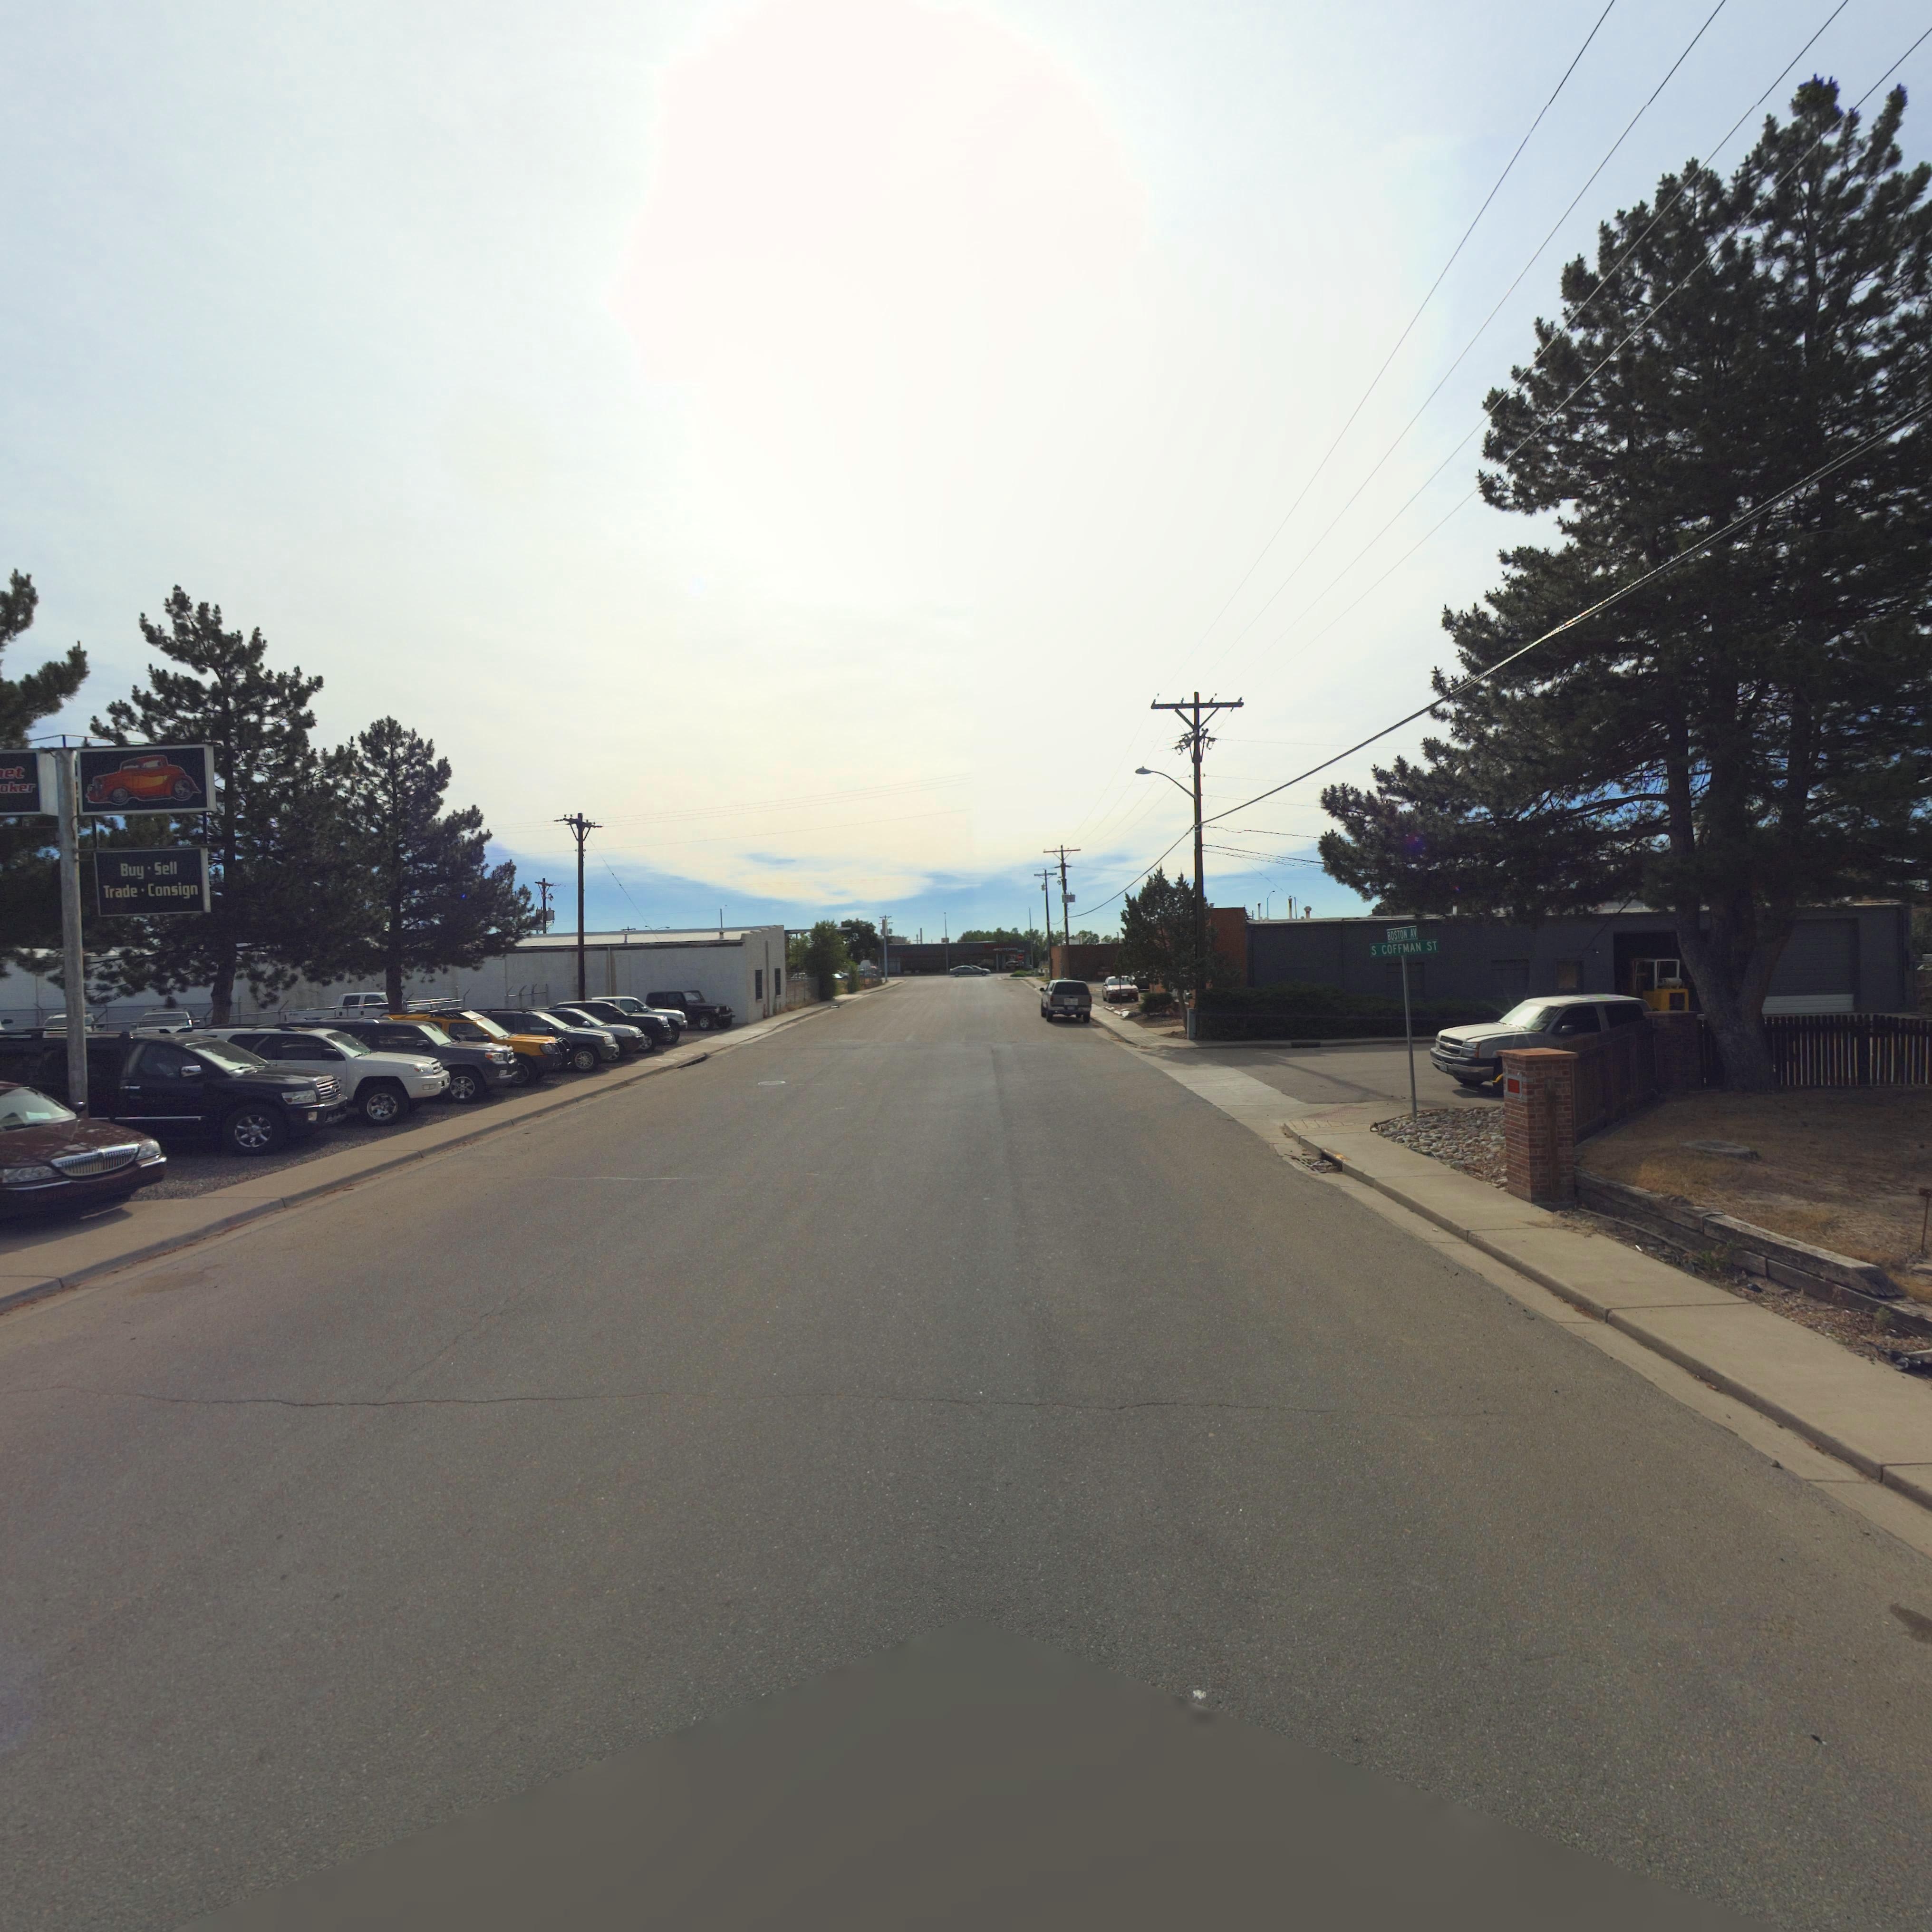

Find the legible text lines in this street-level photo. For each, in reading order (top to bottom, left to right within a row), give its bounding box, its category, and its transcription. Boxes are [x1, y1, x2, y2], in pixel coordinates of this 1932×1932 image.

[0, 766, 24, 779] BusinessName: *et
[0, 782, 36, 792] BusinessName: oker
[1387, 928, 1416, 940] BusinessName: BOSTON AV
[1372, 941, 1436, 955] StreetName: S COFFMAN ST